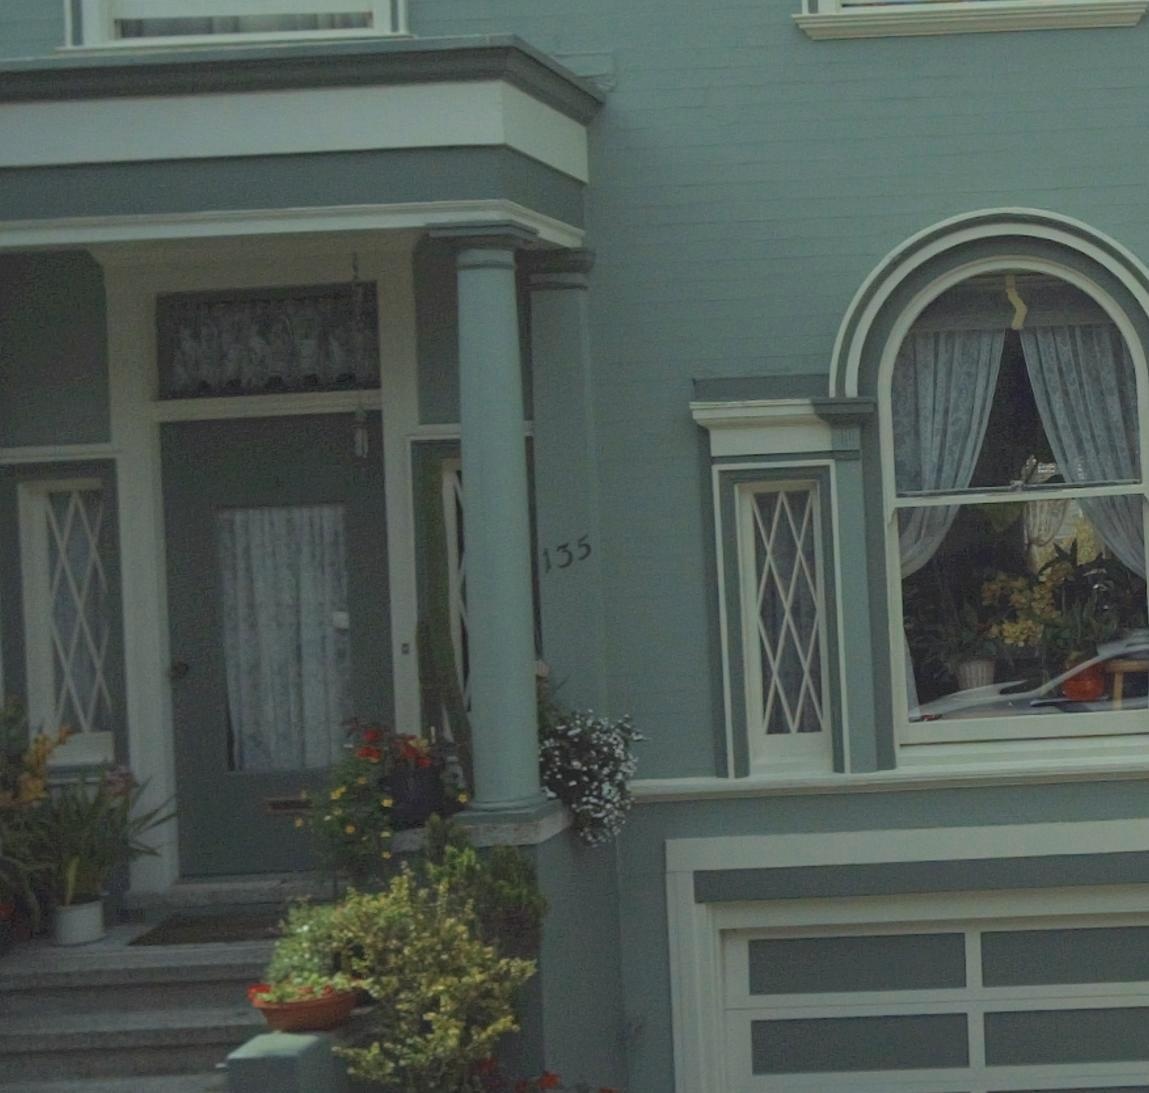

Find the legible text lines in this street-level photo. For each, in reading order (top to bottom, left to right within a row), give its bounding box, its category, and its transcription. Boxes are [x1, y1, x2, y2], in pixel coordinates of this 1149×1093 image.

[538, 531, 595, 577] StreetNumber: 135